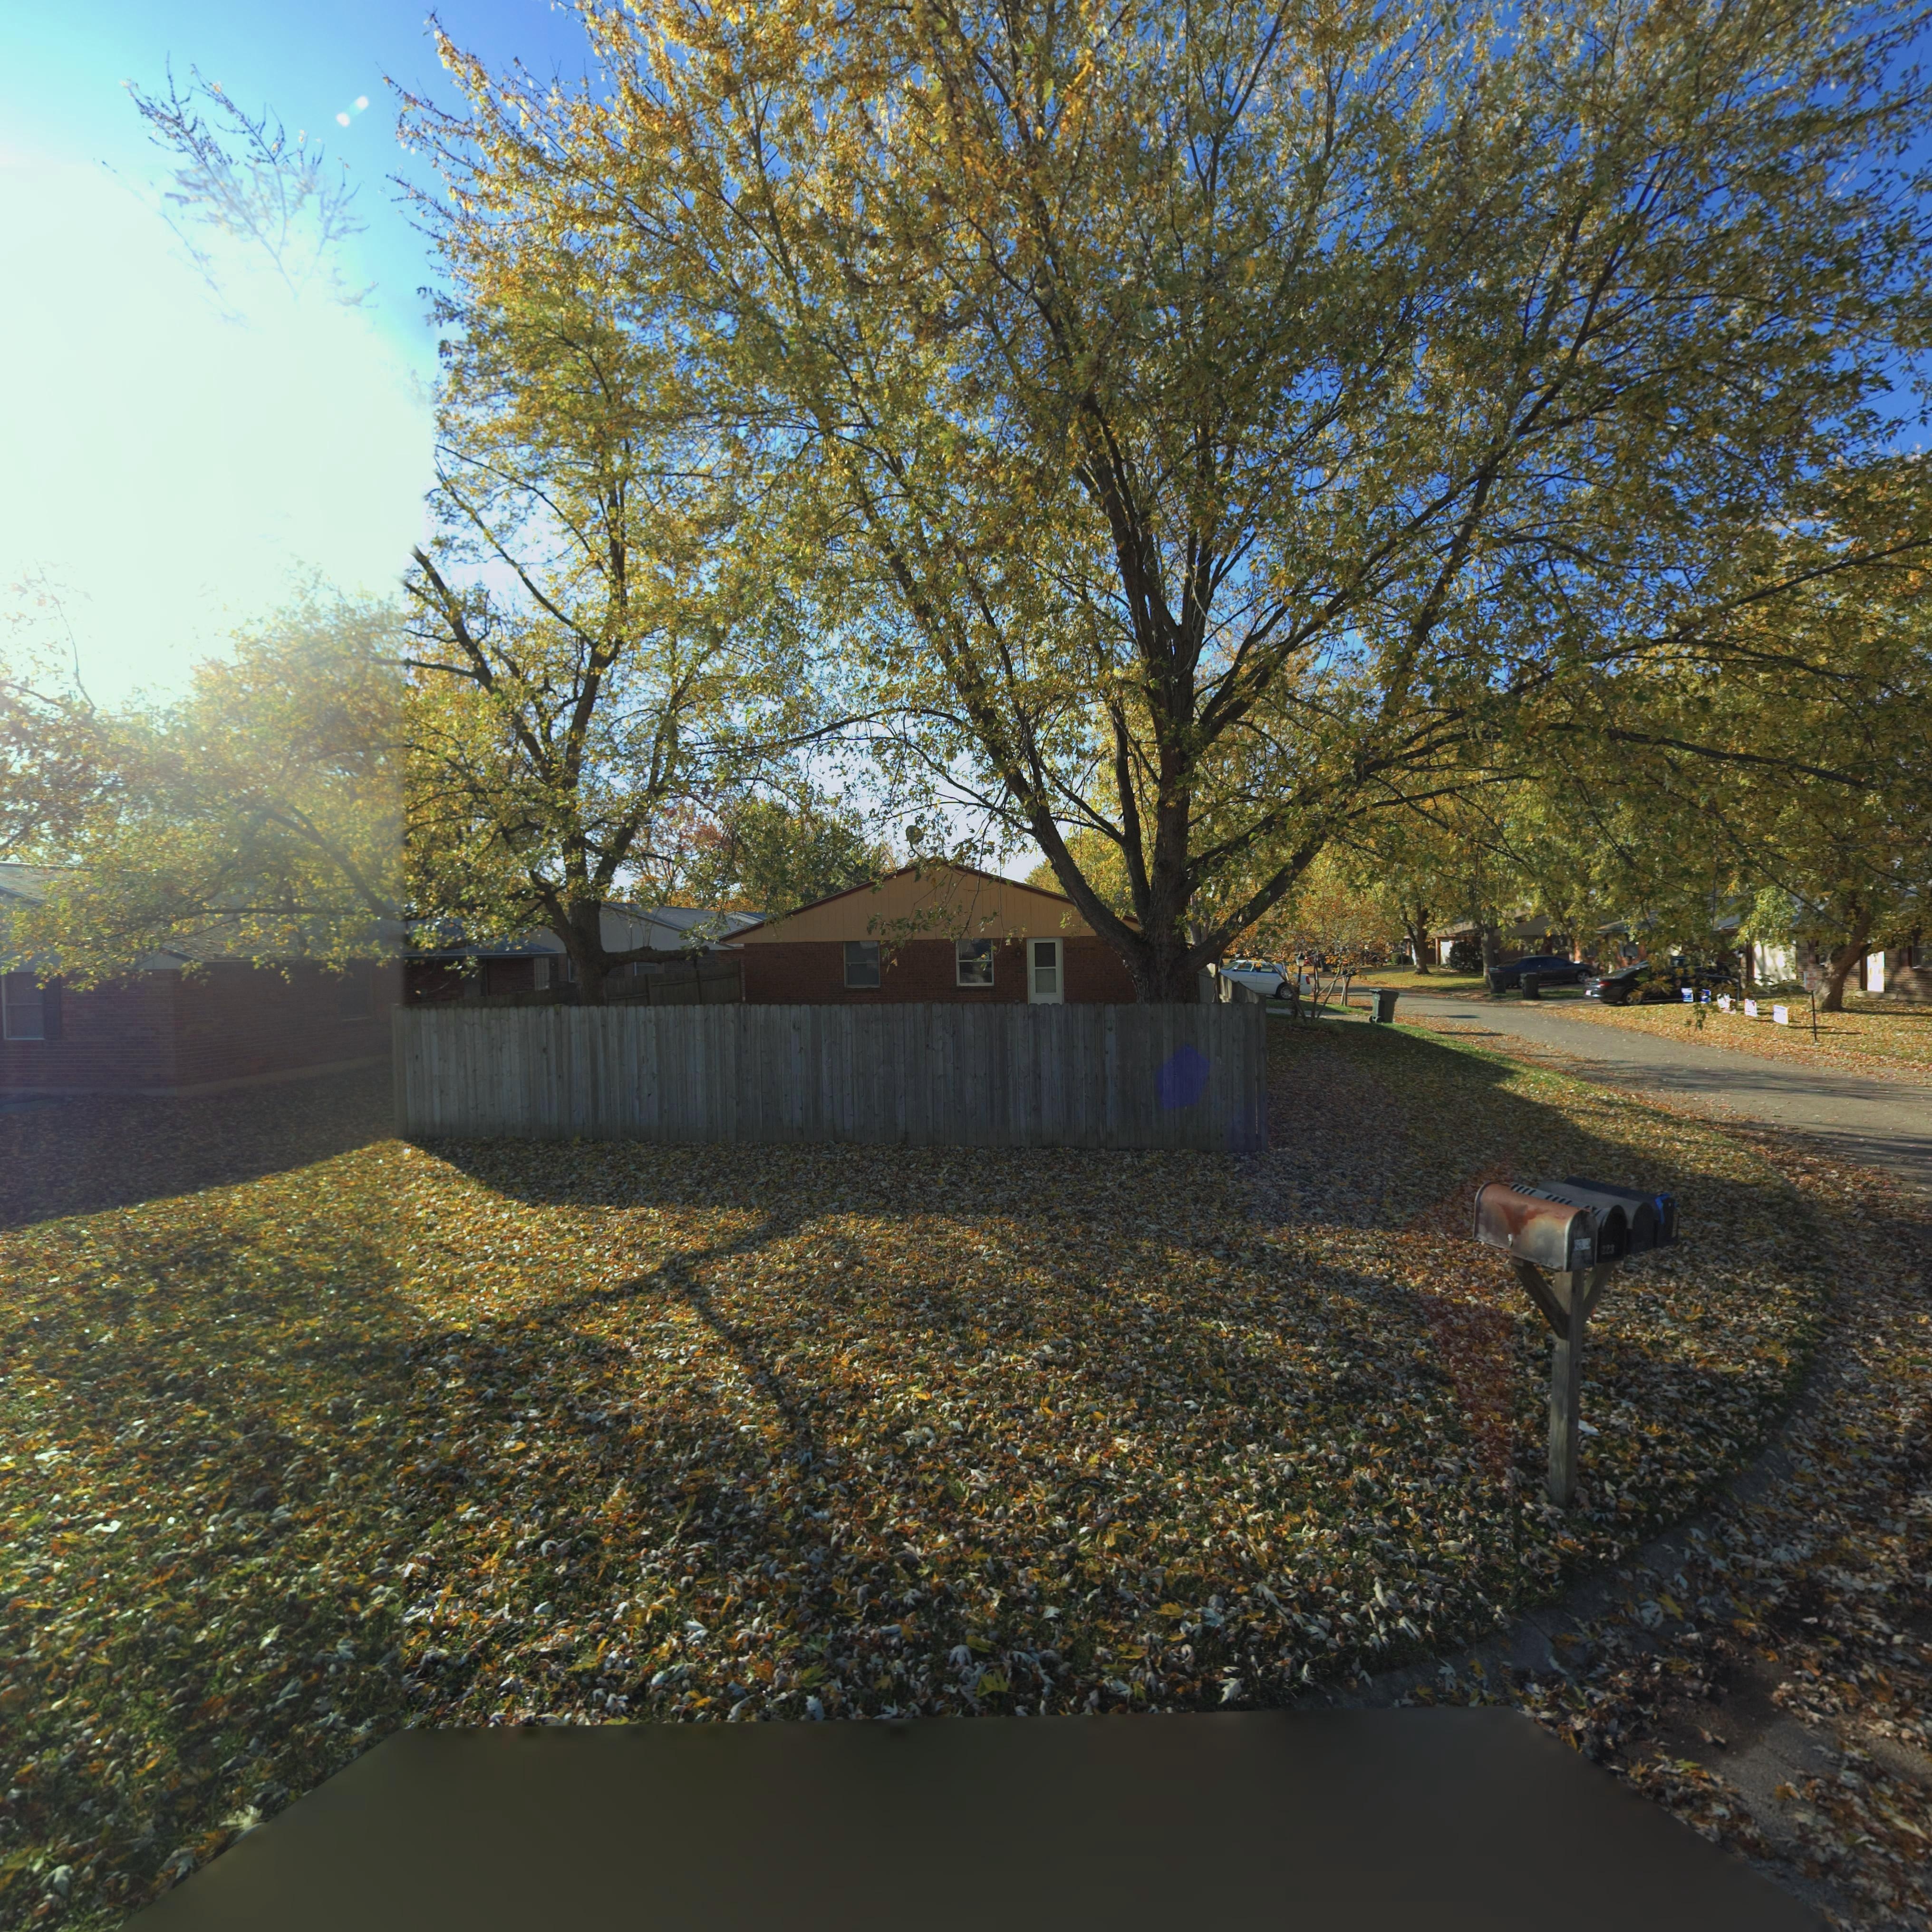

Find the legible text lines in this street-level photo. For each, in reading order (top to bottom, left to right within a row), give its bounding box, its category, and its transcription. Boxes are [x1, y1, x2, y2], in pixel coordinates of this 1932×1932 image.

[1672, 1215, 1679, 1237] StreetNumber: 207
[1574, 1238, 1590, 1251] StreetNumber: 8***
[1600, 1243, 1615, 1256] StreetNumber: 223
[1641, 1241, 1647, 1250] StreetNumber: 5